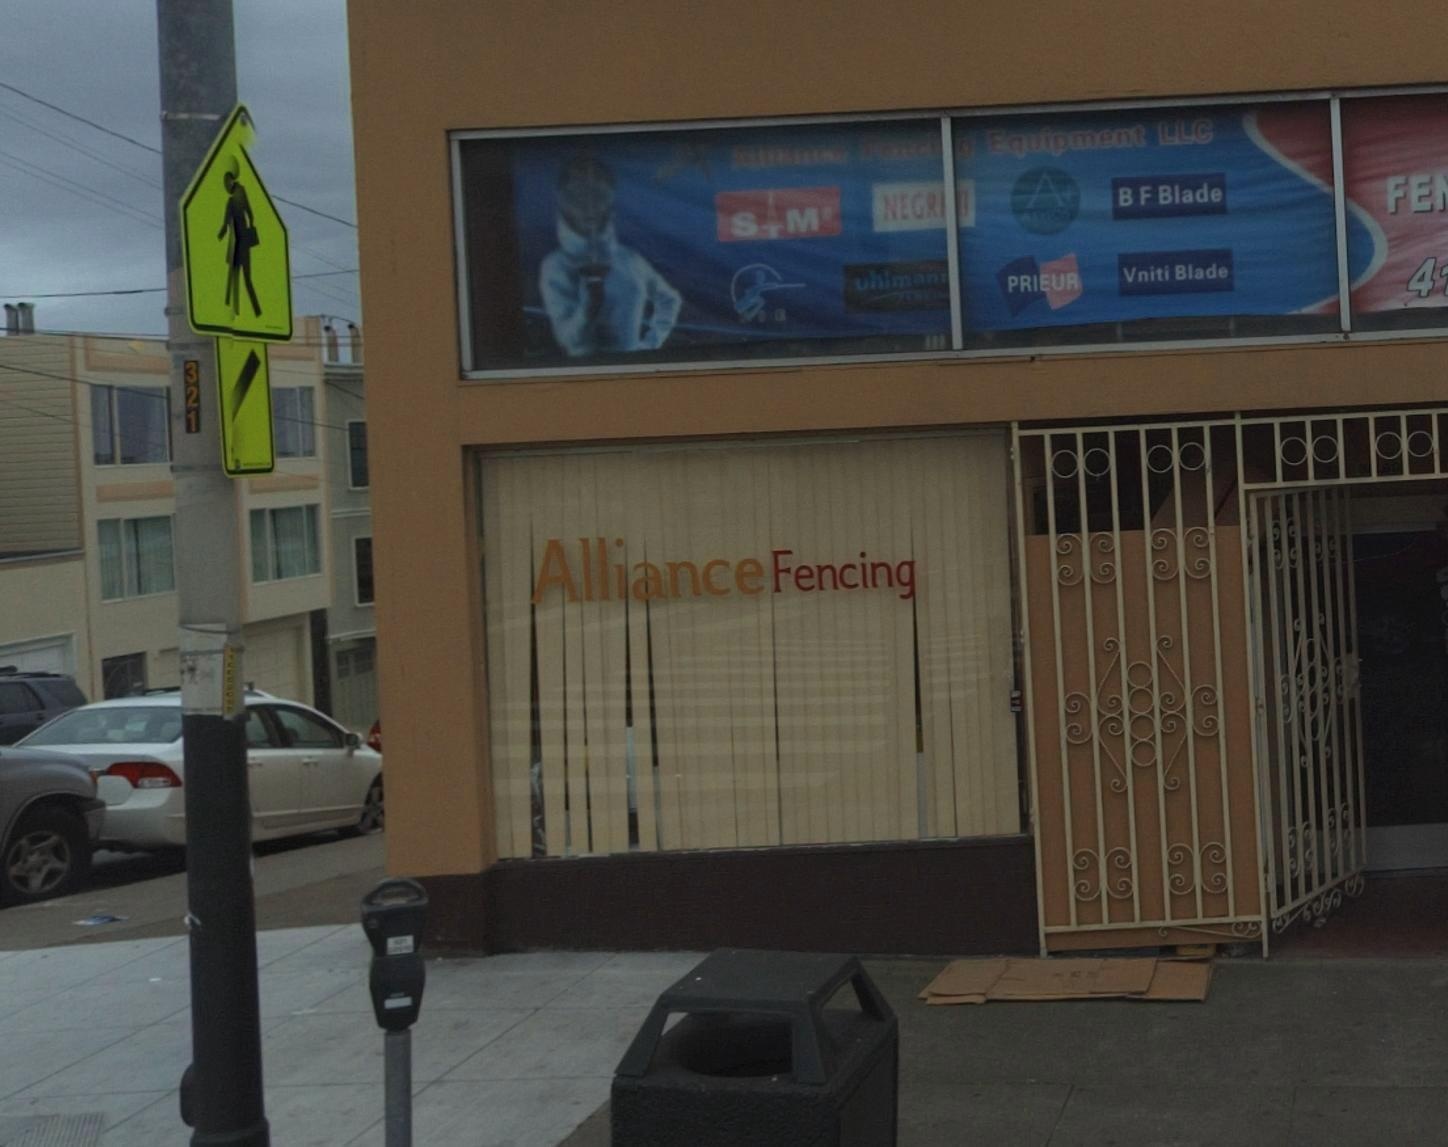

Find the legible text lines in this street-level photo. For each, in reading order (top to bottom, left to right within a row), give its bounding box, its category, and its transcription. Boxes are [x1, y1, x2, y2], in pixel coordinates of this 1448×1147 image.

[985, 115, 1218, 162] None: Equipment LLC
[728, 204, 823, 242] None: S*M
[881, 187, 942, 224] None: NEGR
[1117, 178, 1225, 210] None: B F Blade
[1386, 171, 1436, 216] None: FE
[853, 266, 941, 295] None: Uhiman
[1006, 270, 1081, 295] None: PRIEUR
[1118, 259, 1232, 288] None: Vniti Blade
[1402, 254, 1439, 302] None: 4
[184, 359, 201, 434] None: 321
[521, 531, 918, 610] BusinessName: Alliance Fencing